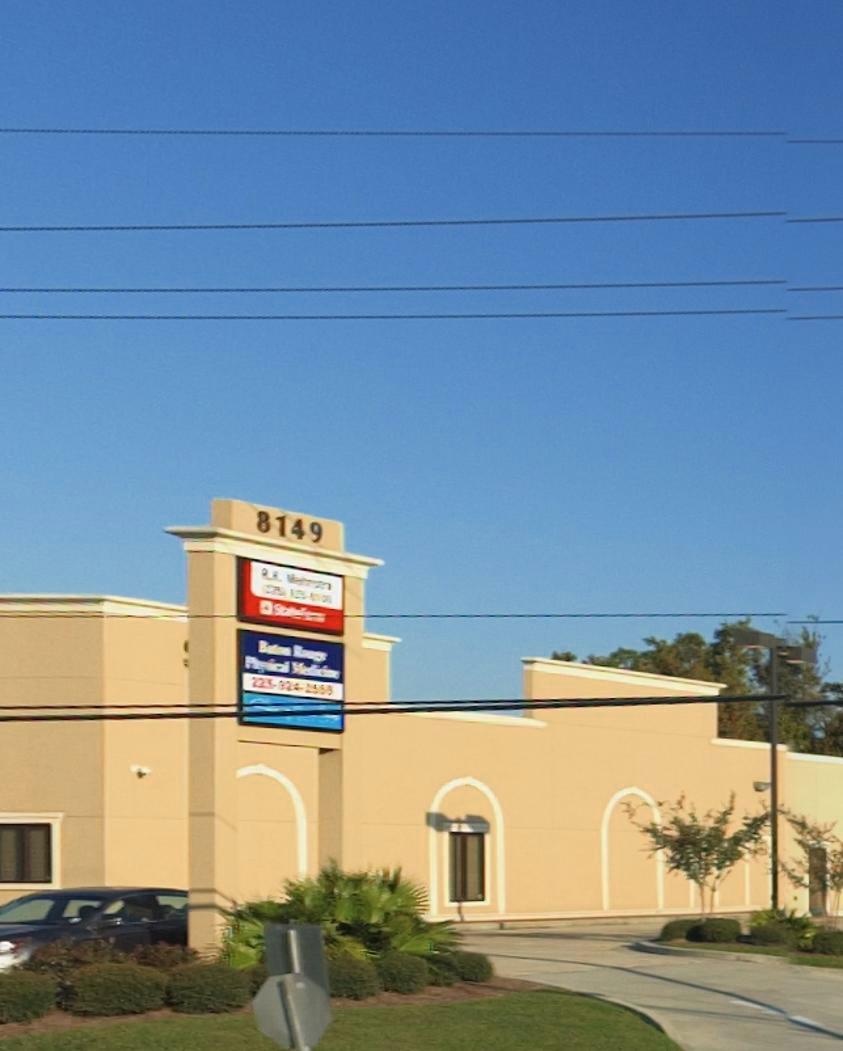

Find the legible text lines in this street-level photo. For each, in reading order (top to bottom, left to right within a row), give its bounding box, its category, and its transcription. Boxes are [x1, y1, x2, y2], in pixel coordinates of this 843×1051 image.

[251, 505, 327, 547] StreetNumber: 8149
[256, 564, 284, 586] BusinessName: R.H.
[284, 570, 298, 588] BusinessName: M
[270, 601, 288, 621] BusinessName: St
[253, 633, 331, 667] BusinessName: Baton Rouge
[241, 651, 344, 685] BusinessName: Physical Medicine
[248, 674, 337, 700] None: 235-*24-2*58